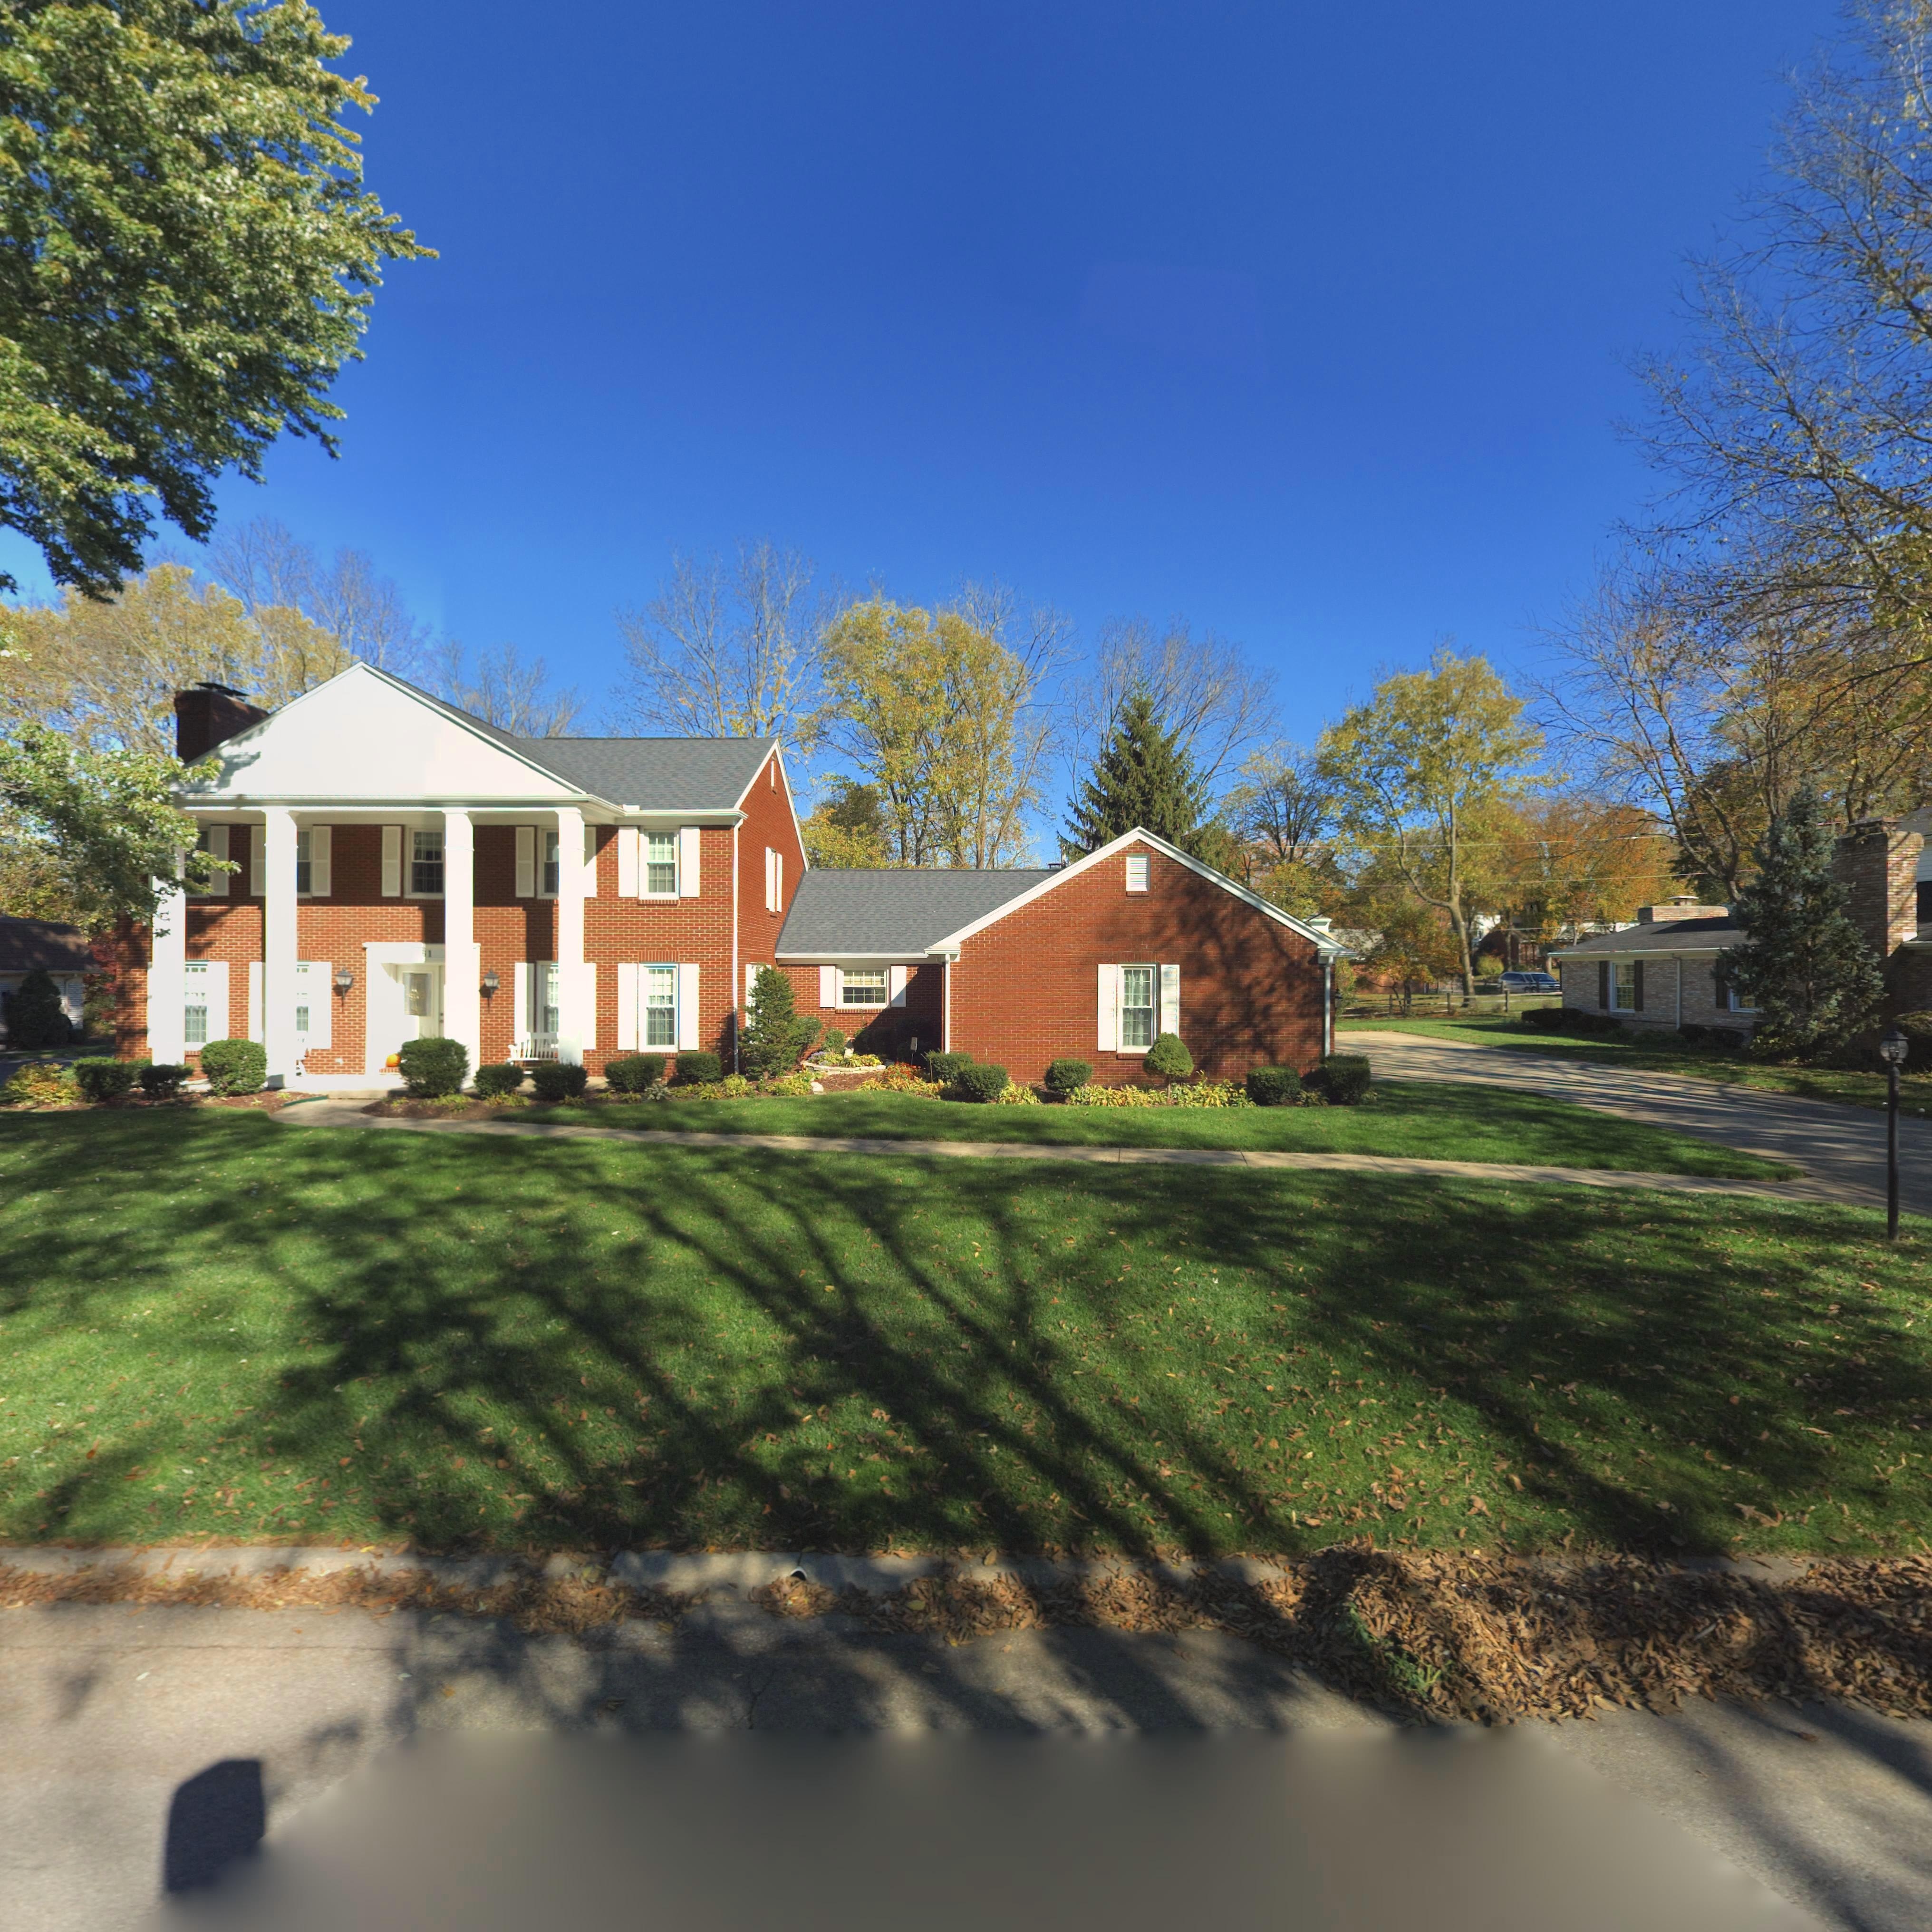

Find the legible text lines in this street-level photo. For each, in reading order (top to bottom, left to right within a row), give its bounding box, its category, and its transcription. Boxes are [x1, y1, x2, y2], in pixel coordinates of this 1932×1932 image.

[414, 949, 432, 957] StreetNumber: 761